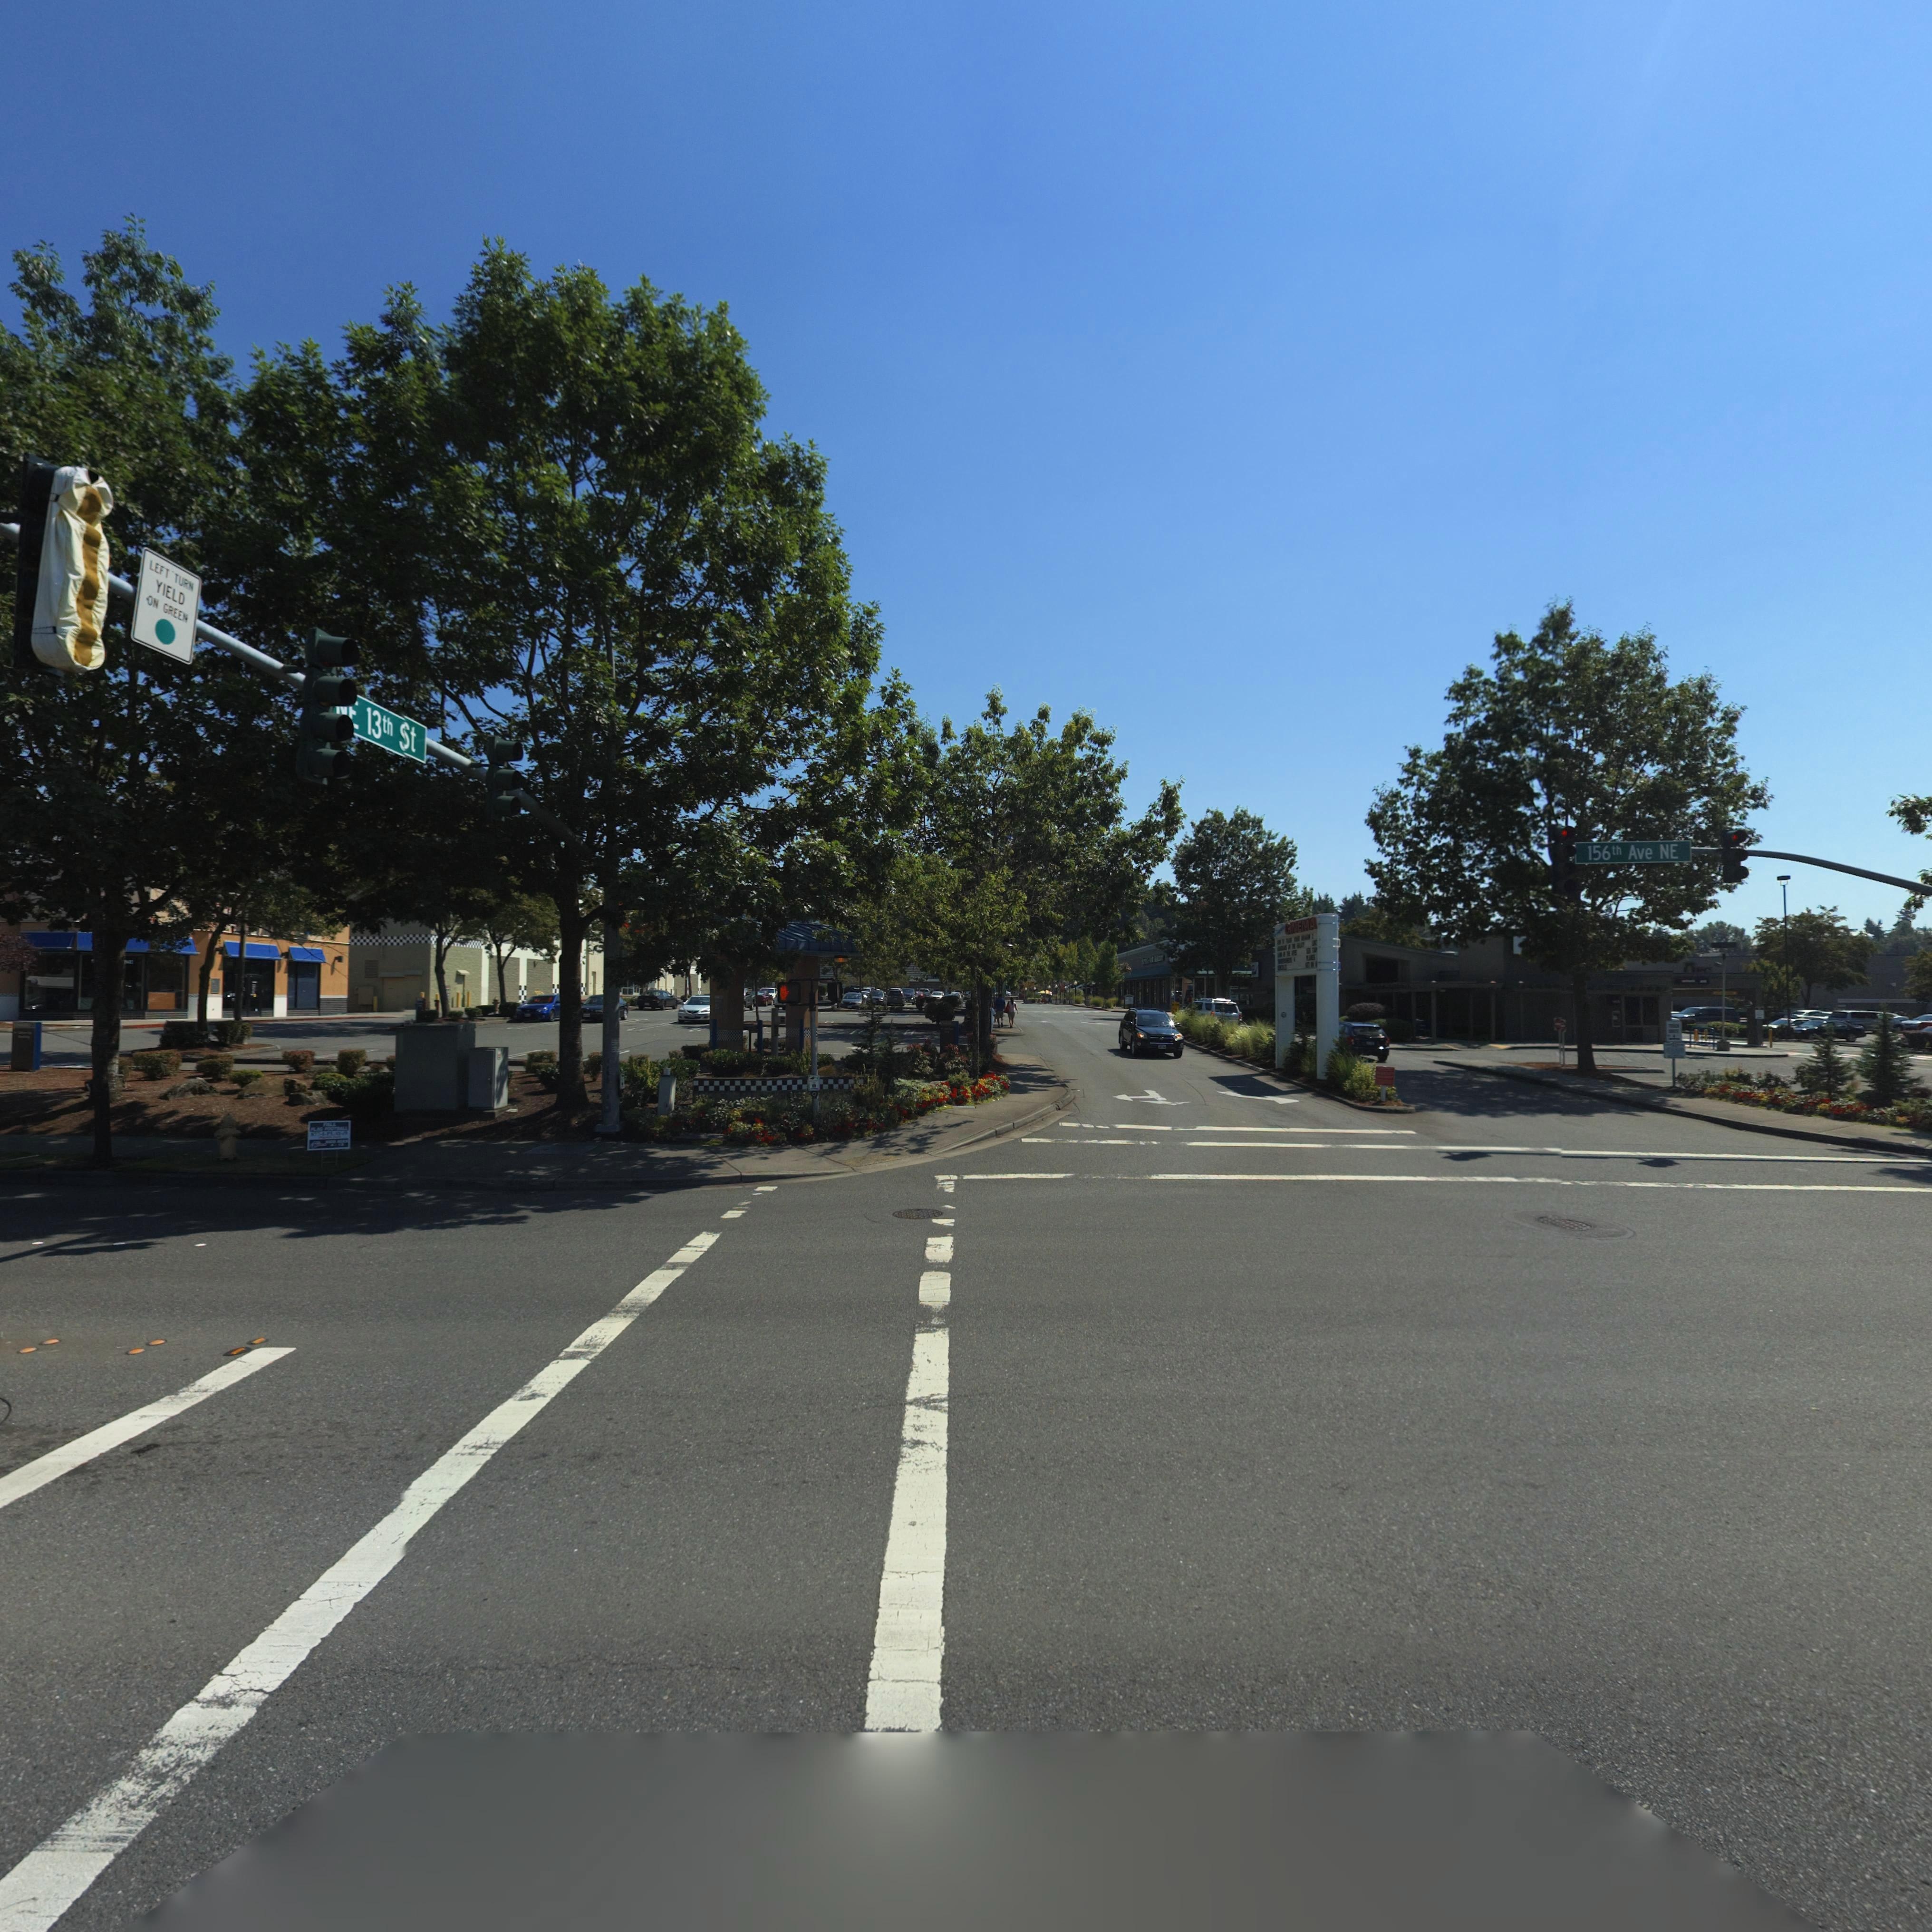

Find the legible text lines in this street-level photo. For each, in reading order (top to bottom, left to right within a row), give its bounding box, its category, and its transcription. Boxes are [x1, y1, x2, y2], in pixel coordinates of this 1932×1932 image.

[146, 556, 195, 594] TrafficSign: LEFT TURN
[155, 580, 185, 605] TrafficSign: YIELD
[146, 595, 188, 623] TrafficSign: ON GREEN
[336, 701, 417, 753] StreetName: *E 13th ST
[1588, 844, 1678, 860] StreetName: 156th Ave NE
[1285, 917, 1318, 934] StreetName: CINEMA